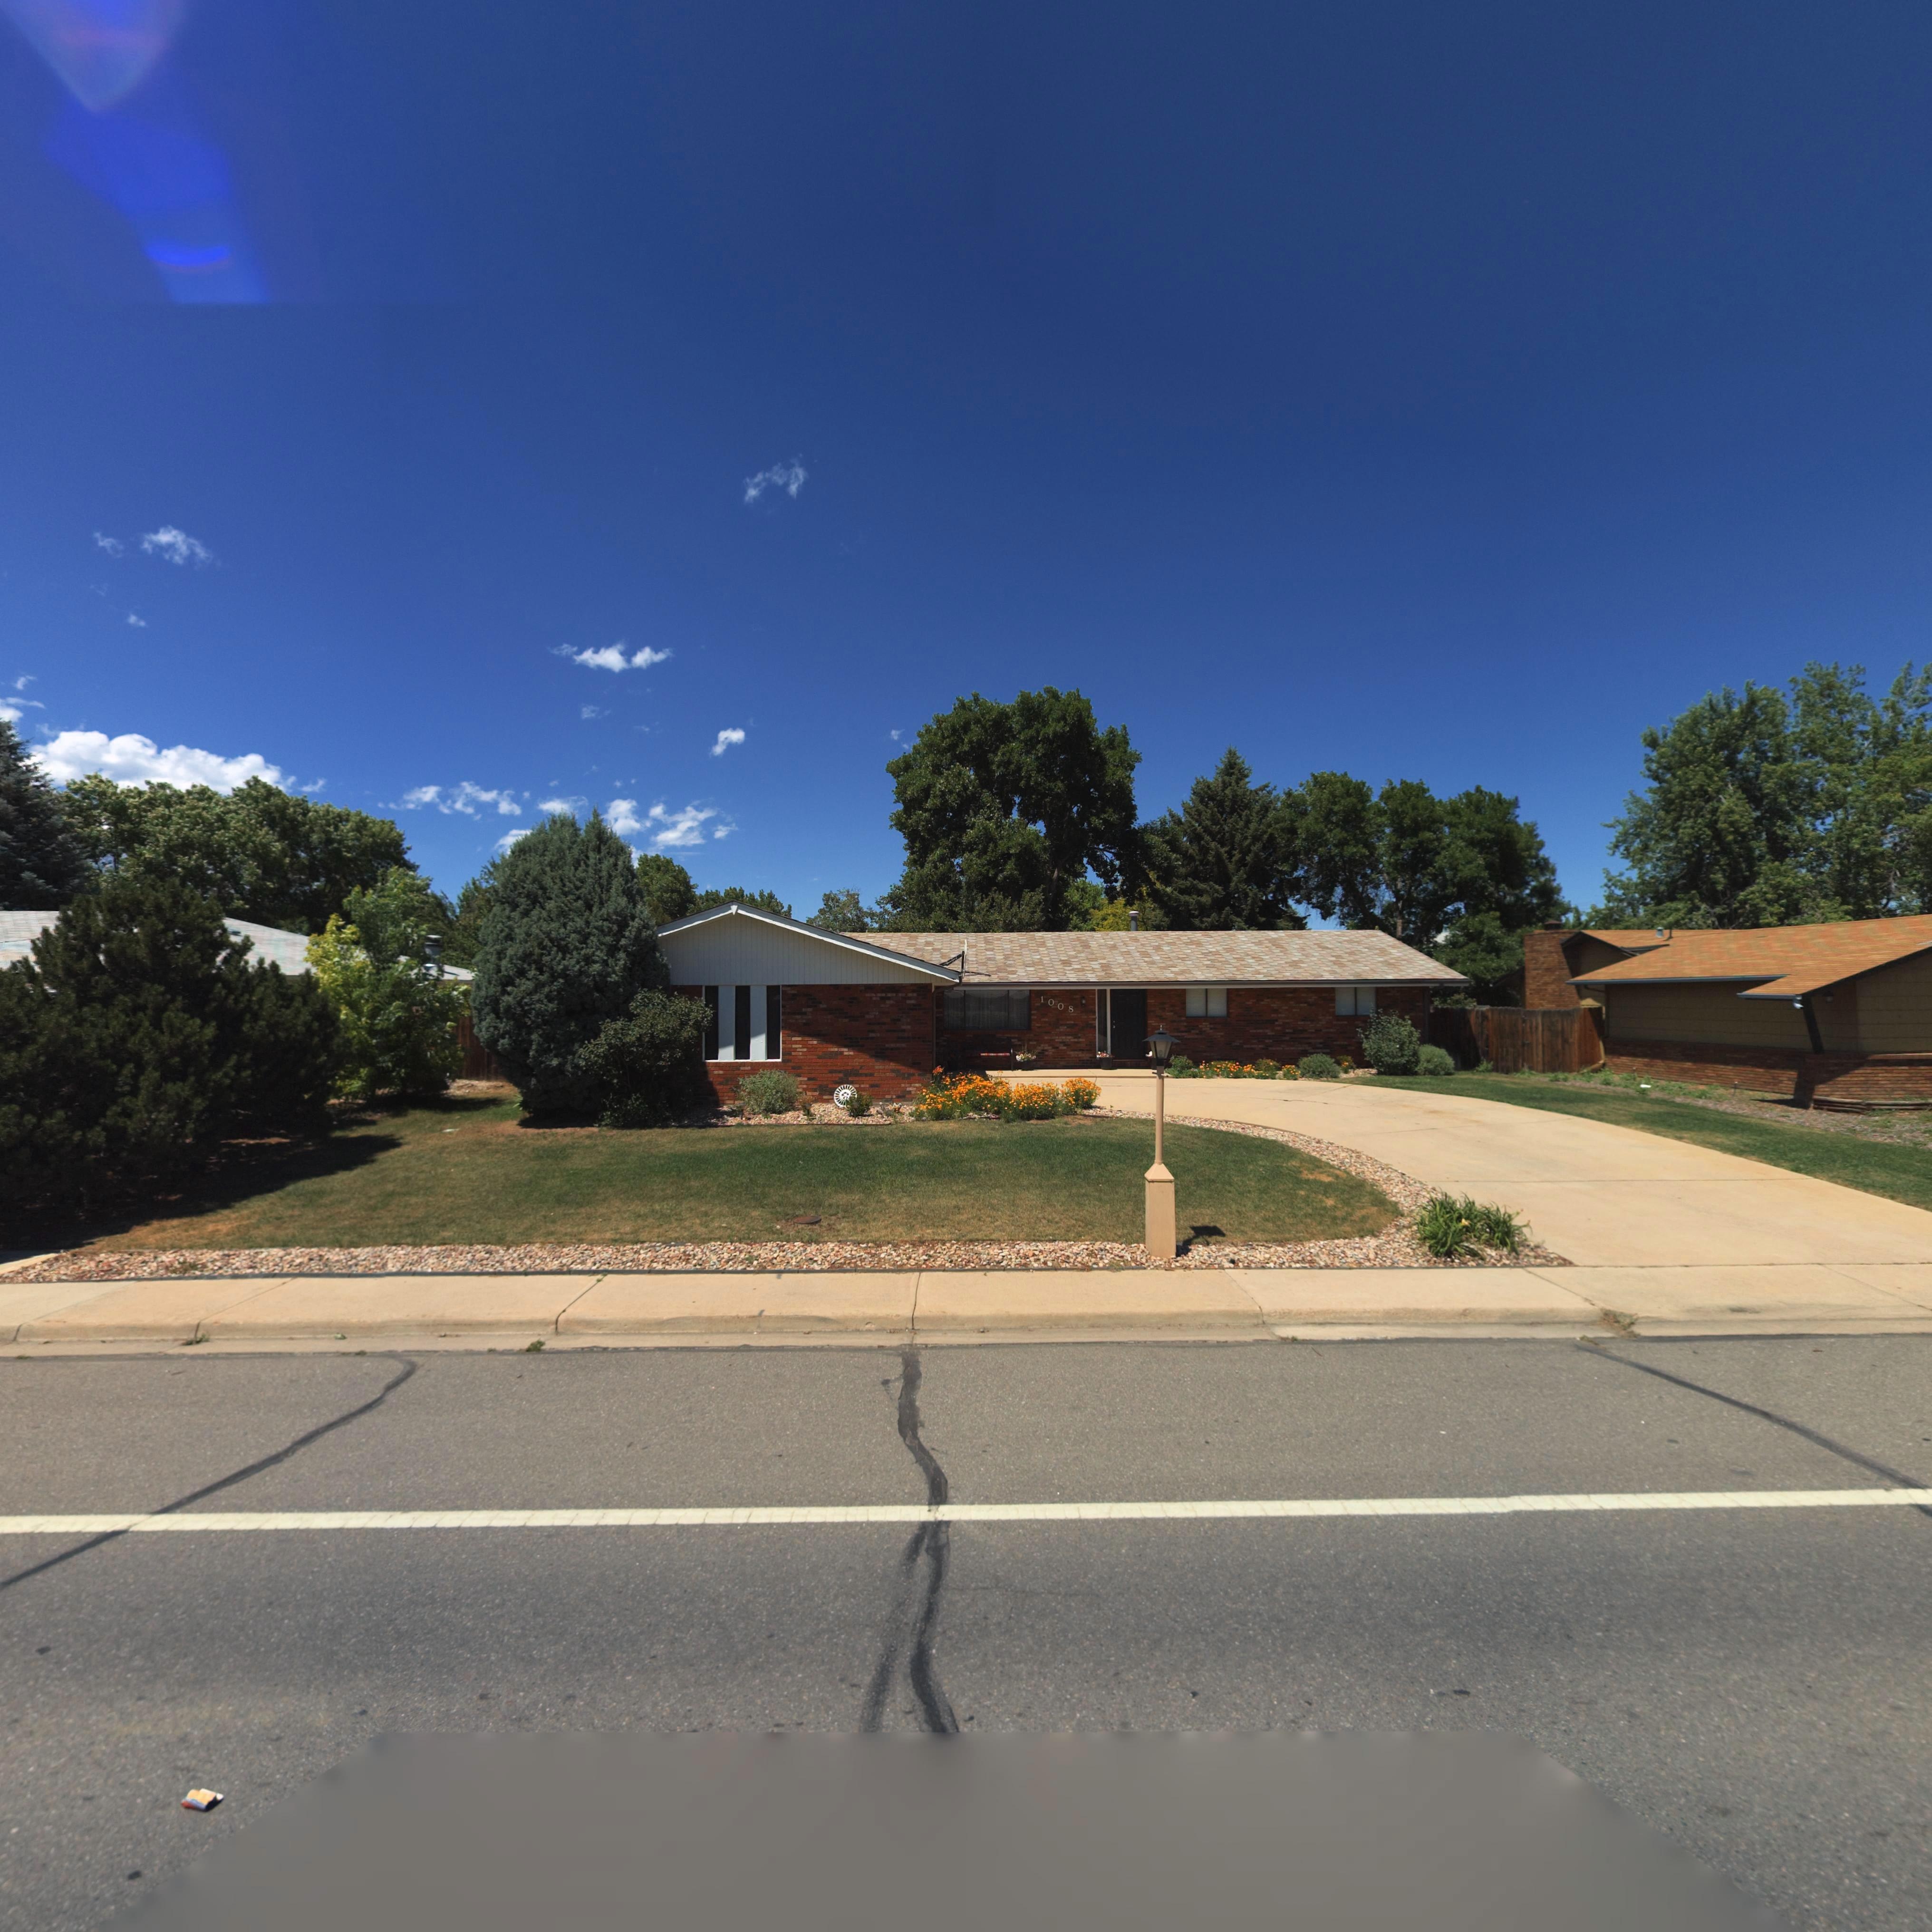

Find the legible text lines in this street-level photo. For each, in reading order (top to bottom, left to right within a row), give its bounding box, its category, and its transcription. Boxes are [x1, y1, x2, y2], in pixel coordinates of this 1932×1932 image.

[1040, 995, 1074, 1014] StreetNumber: 1008